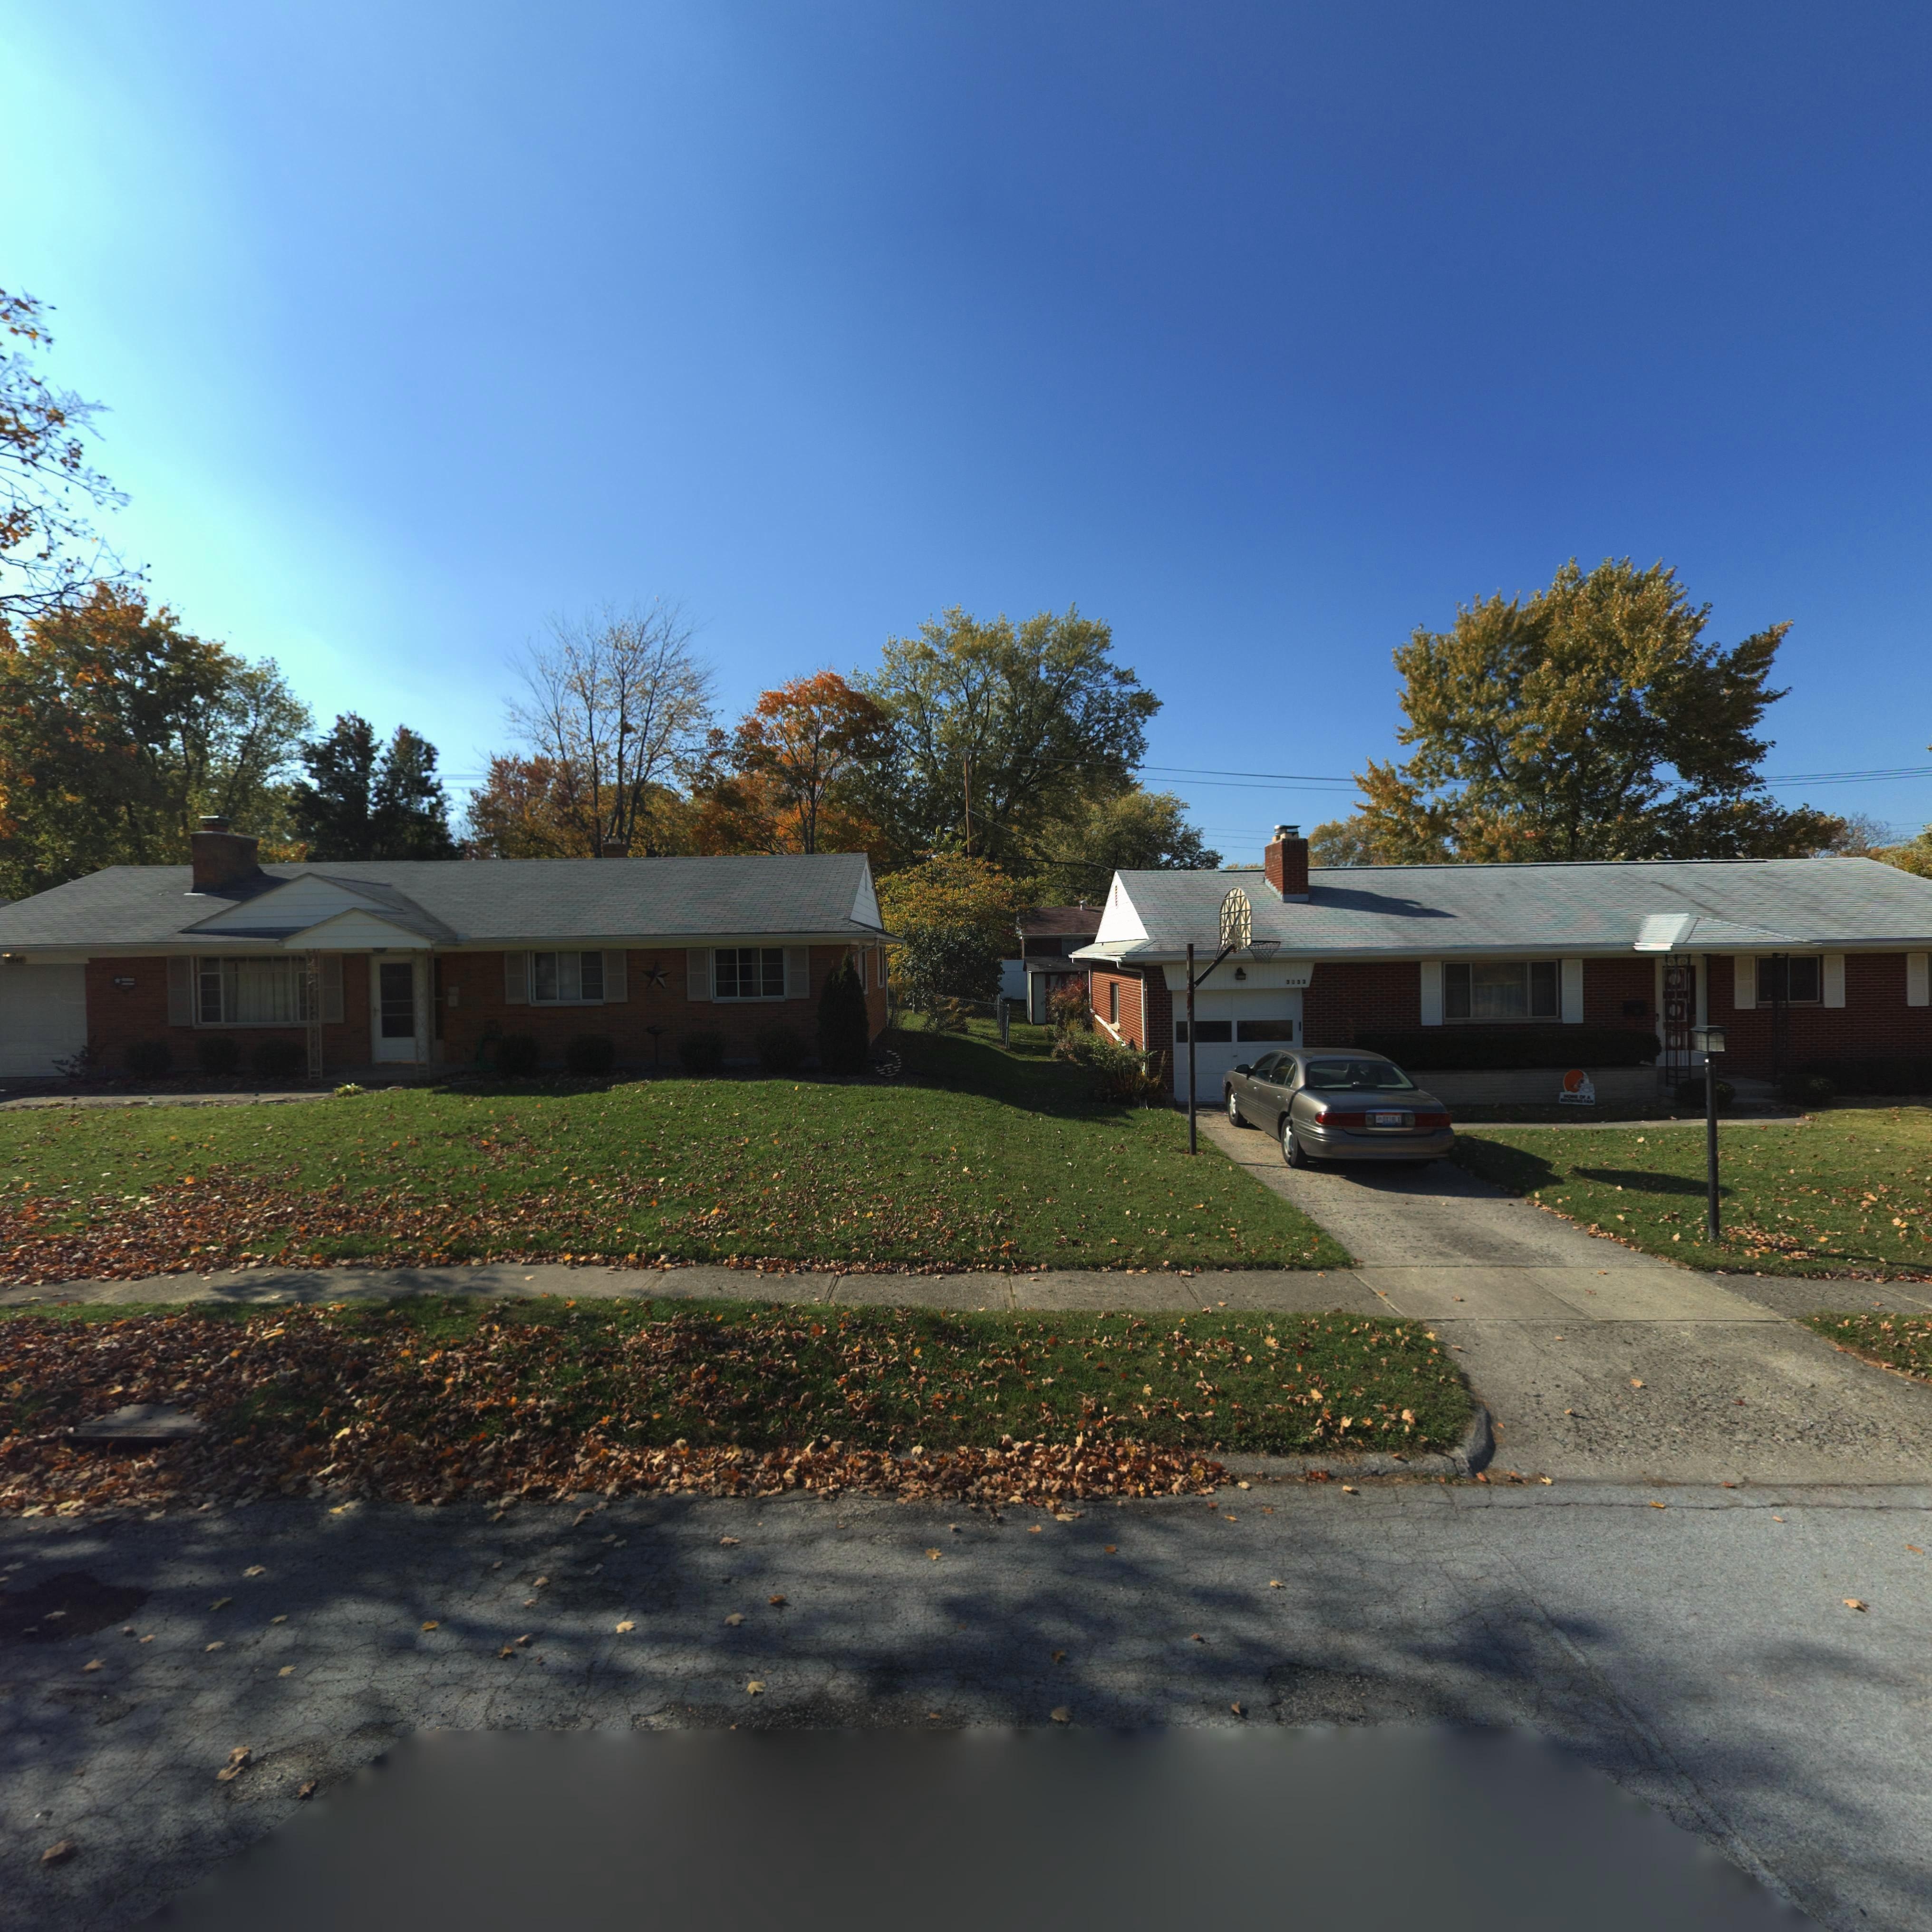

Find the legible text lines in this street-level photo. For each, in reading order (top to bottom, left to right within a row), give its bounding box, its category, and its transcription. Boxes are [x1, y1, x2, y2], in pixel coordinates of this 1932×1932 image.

[6, 956, 25, 965] StreetNumber: **47
[1285, 977, 1307, 986] StreetNumber: 3***